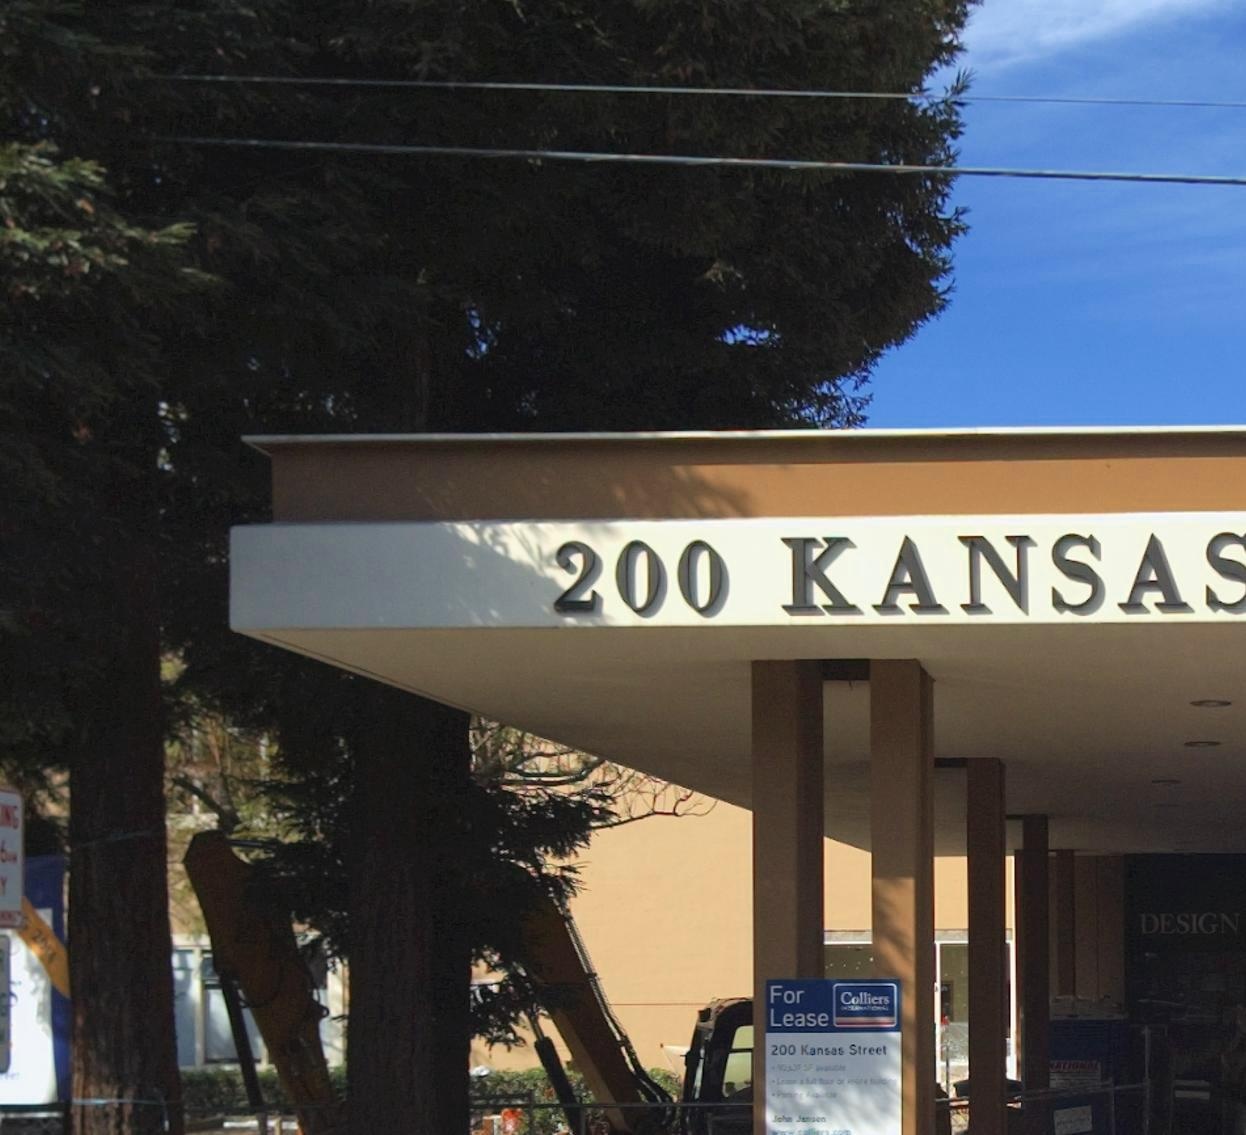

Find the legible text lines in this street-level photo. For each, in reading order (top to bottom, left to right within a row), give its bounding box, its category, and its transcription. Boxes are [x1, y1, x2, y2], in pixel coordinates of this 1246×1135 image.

[552, 536, 724, 616] StreetNumber: 200
[777, 531, 1196, 617] StreetName: KANSA
[1, 799, 22, 833] None: NG
[1136, 910, 1243, 937] None: DESIGN
[26, 921, 64, 969] None: 2014
[768, 983, 807, 1006] None: For
[838, 990, 892, 1007] None: Colliers
[768, 1005, 831, 1029] None: Lease
[769, 1042, 798, 1057] StreetNumber: 200
[799, 1042, 889, 1057] StreetName: Kansas Street